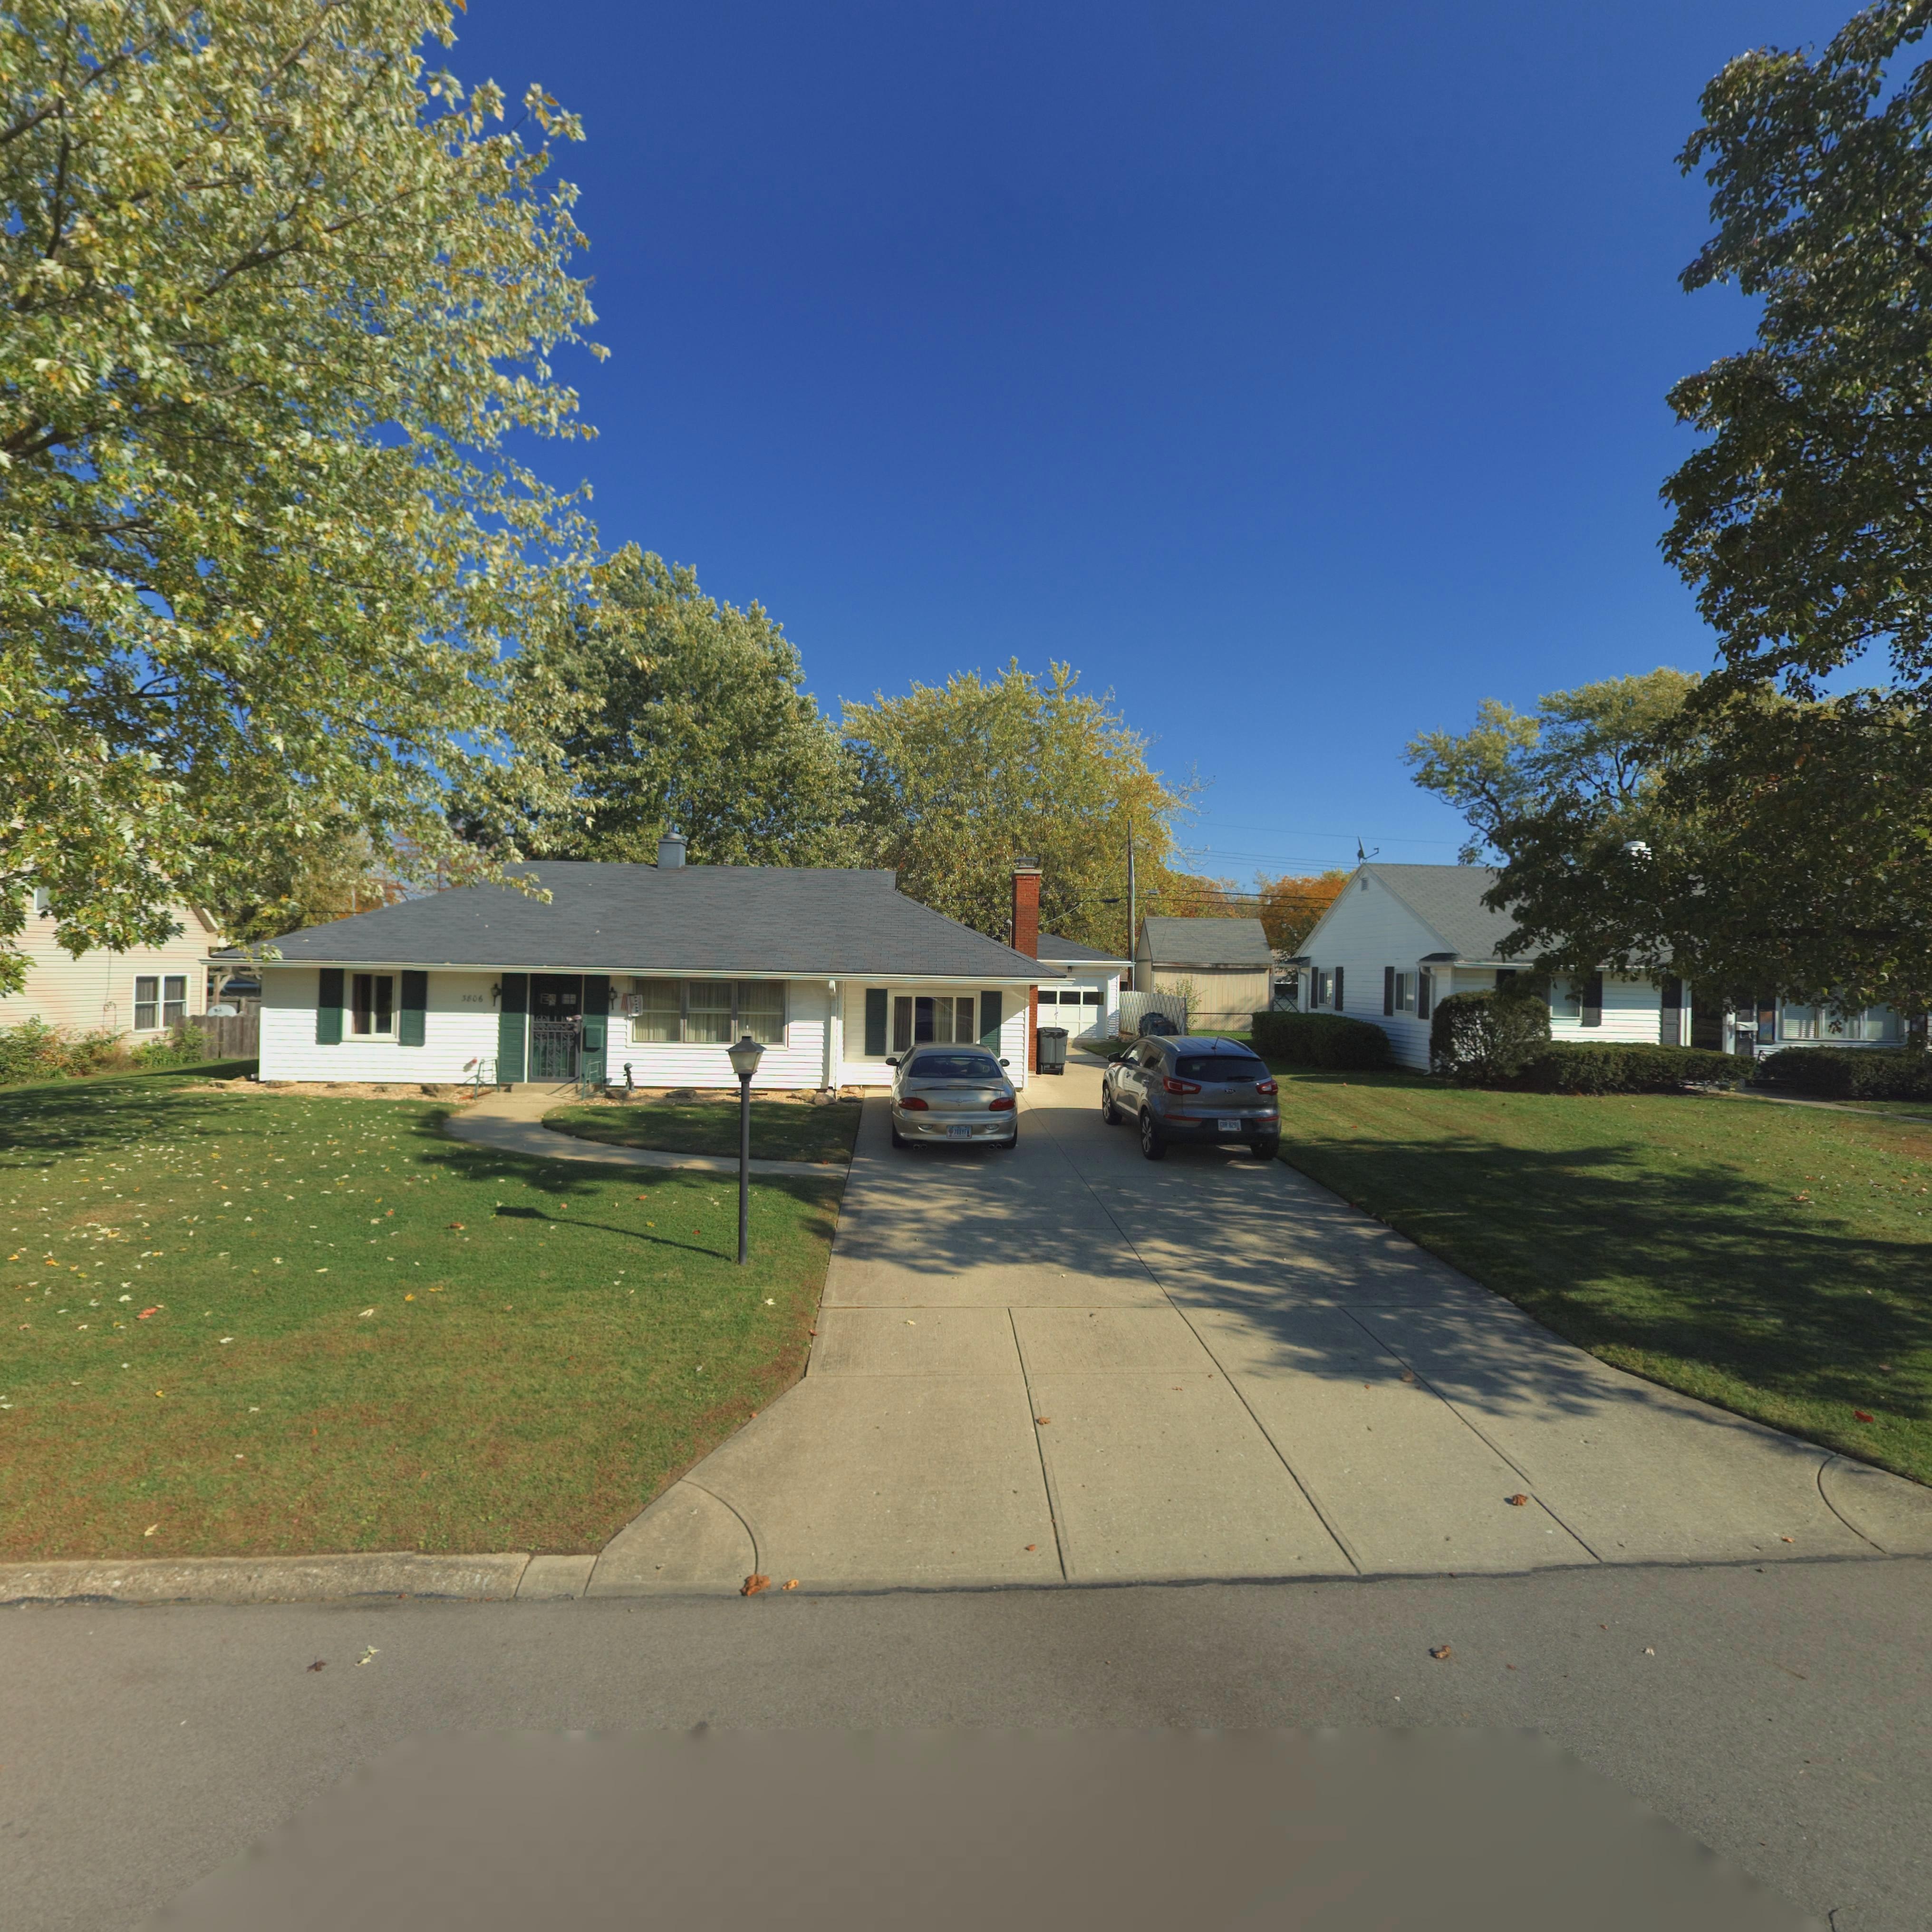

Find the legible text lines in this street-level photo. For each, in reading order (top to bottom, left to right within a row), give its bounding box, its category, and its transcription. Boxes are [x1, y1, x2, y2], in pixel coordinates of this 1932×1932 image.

[460, 994, 484, 1004] StreetNumber: 3806
[1219, 1121, 1240, 1129] None: *BR 8291
[953, 1128, 970, 1136] None: 708*F*